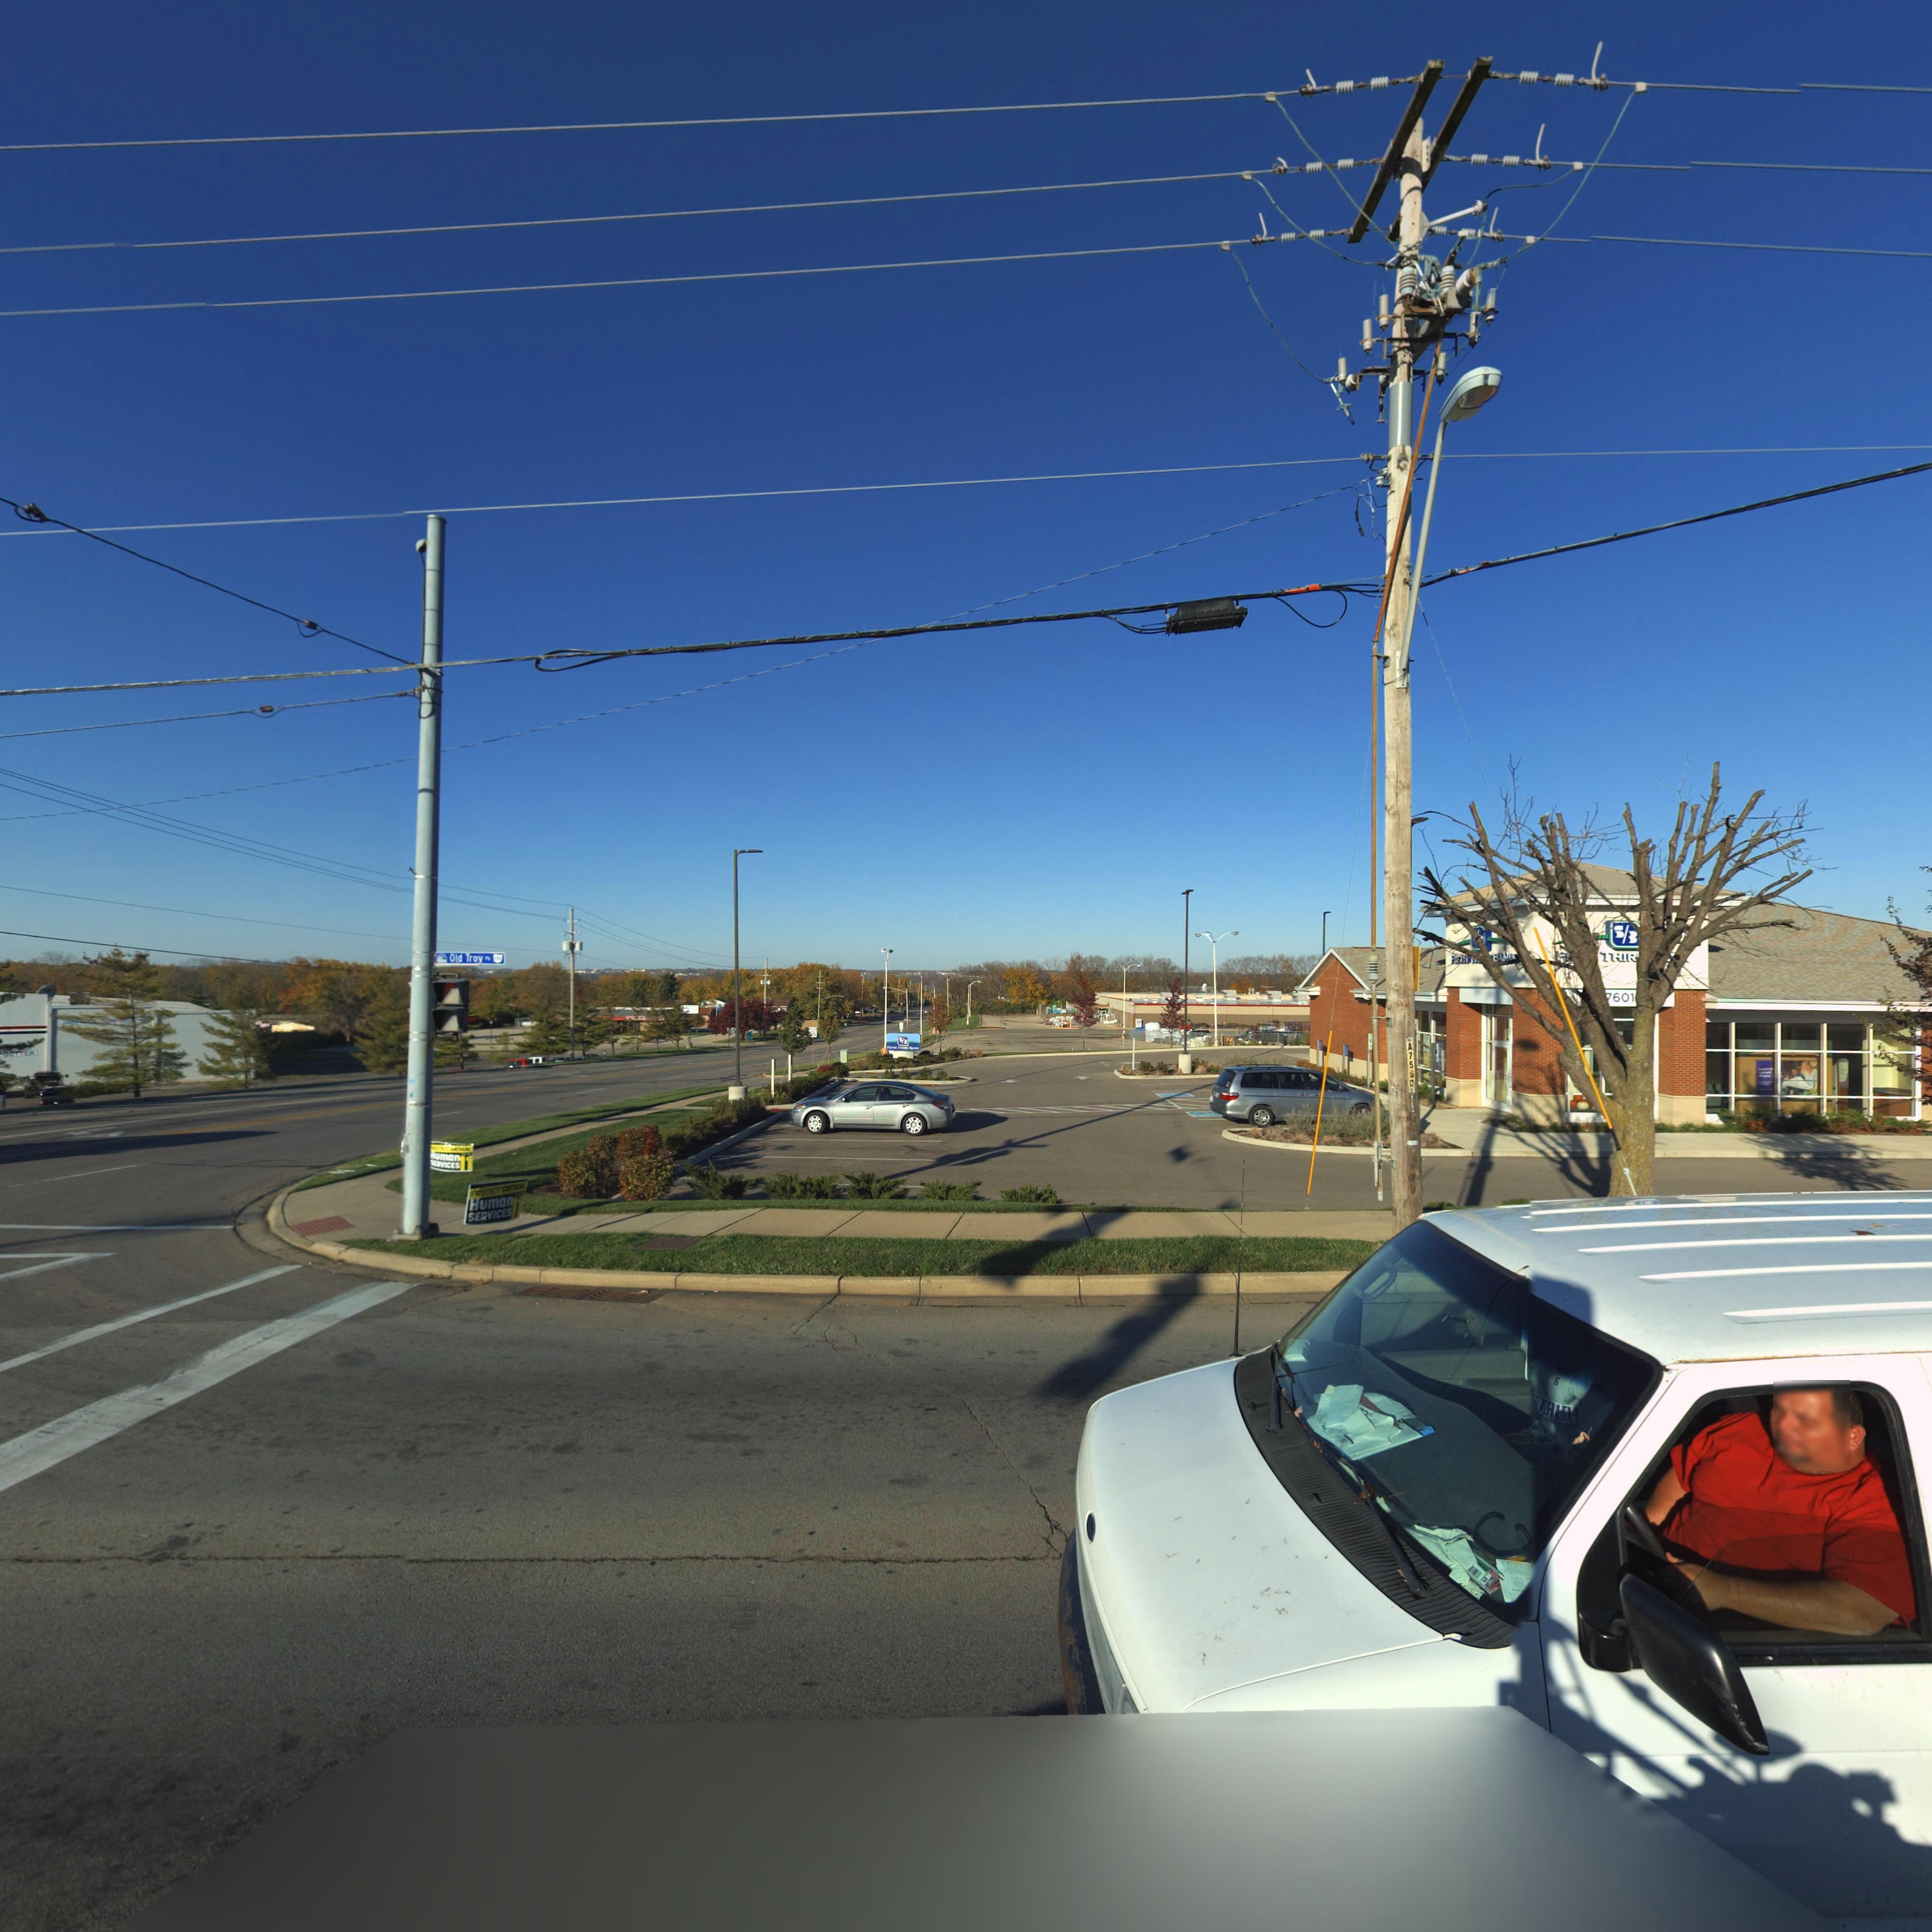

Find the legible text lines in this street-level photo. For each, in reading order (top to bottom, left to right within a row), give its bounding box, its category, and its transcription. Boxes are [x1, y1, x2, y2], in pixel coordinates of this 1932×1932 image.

[1612, 992, 1635, 1005] StreetNumber: 601